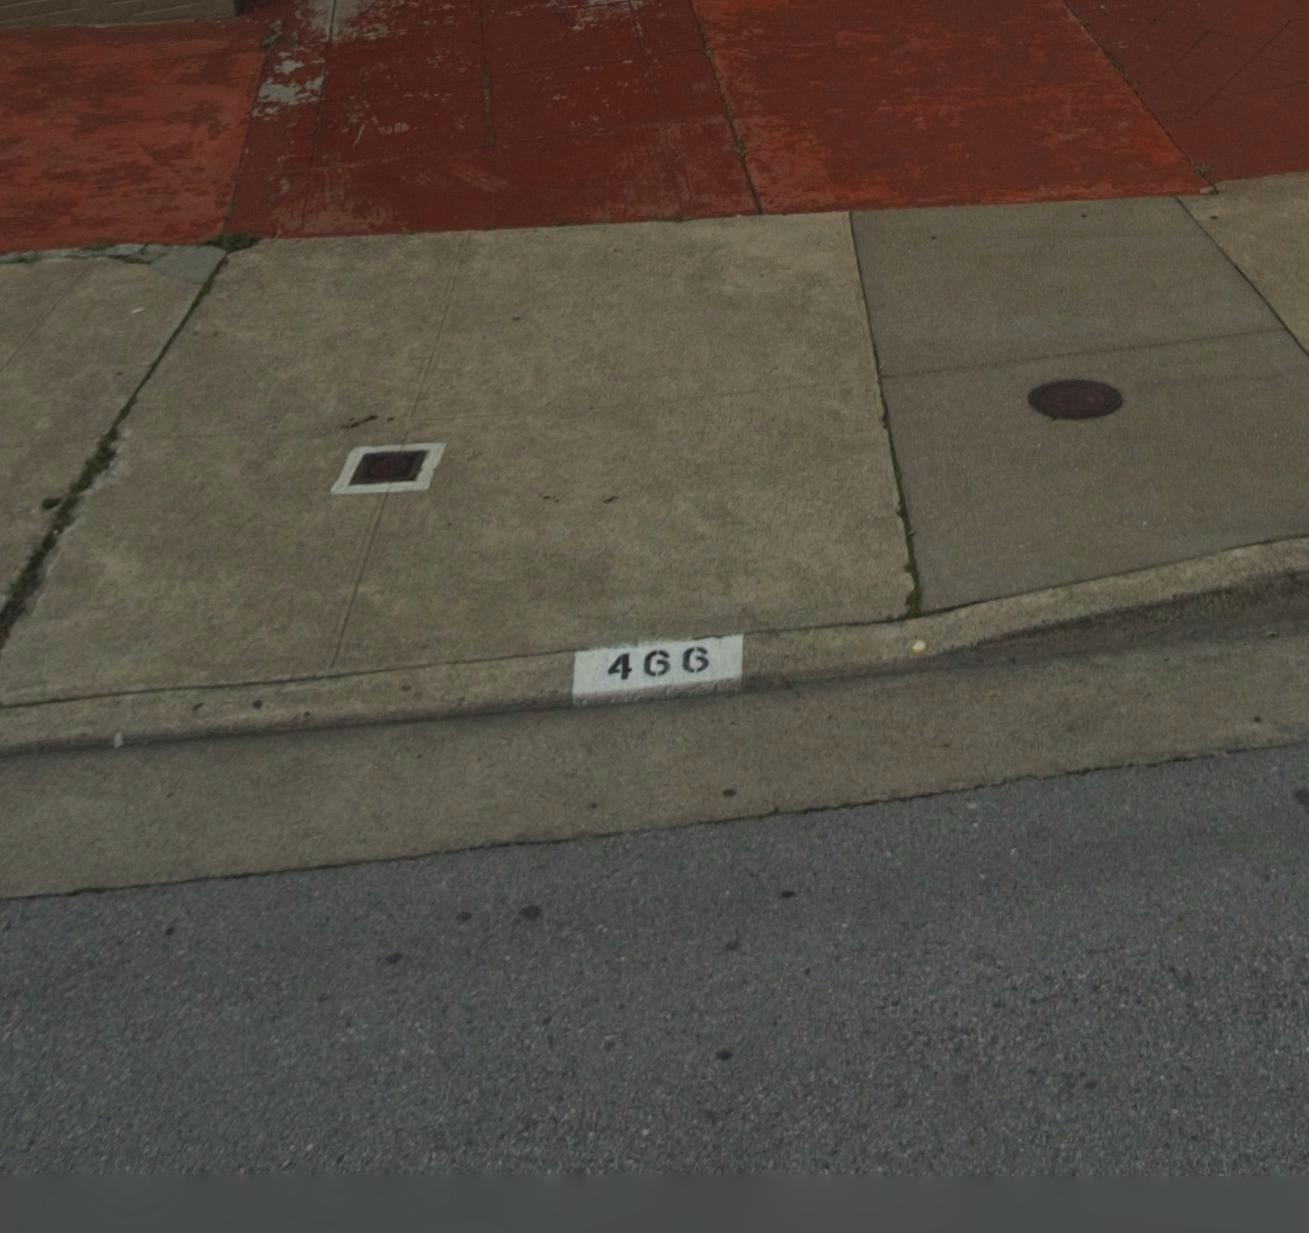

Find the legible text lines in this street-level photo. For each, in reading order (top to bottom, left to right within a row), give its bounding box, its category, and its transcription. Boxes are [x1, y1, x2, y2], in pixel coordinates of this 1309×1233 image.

[603, 643, 712, 683] StreetNumber: 466